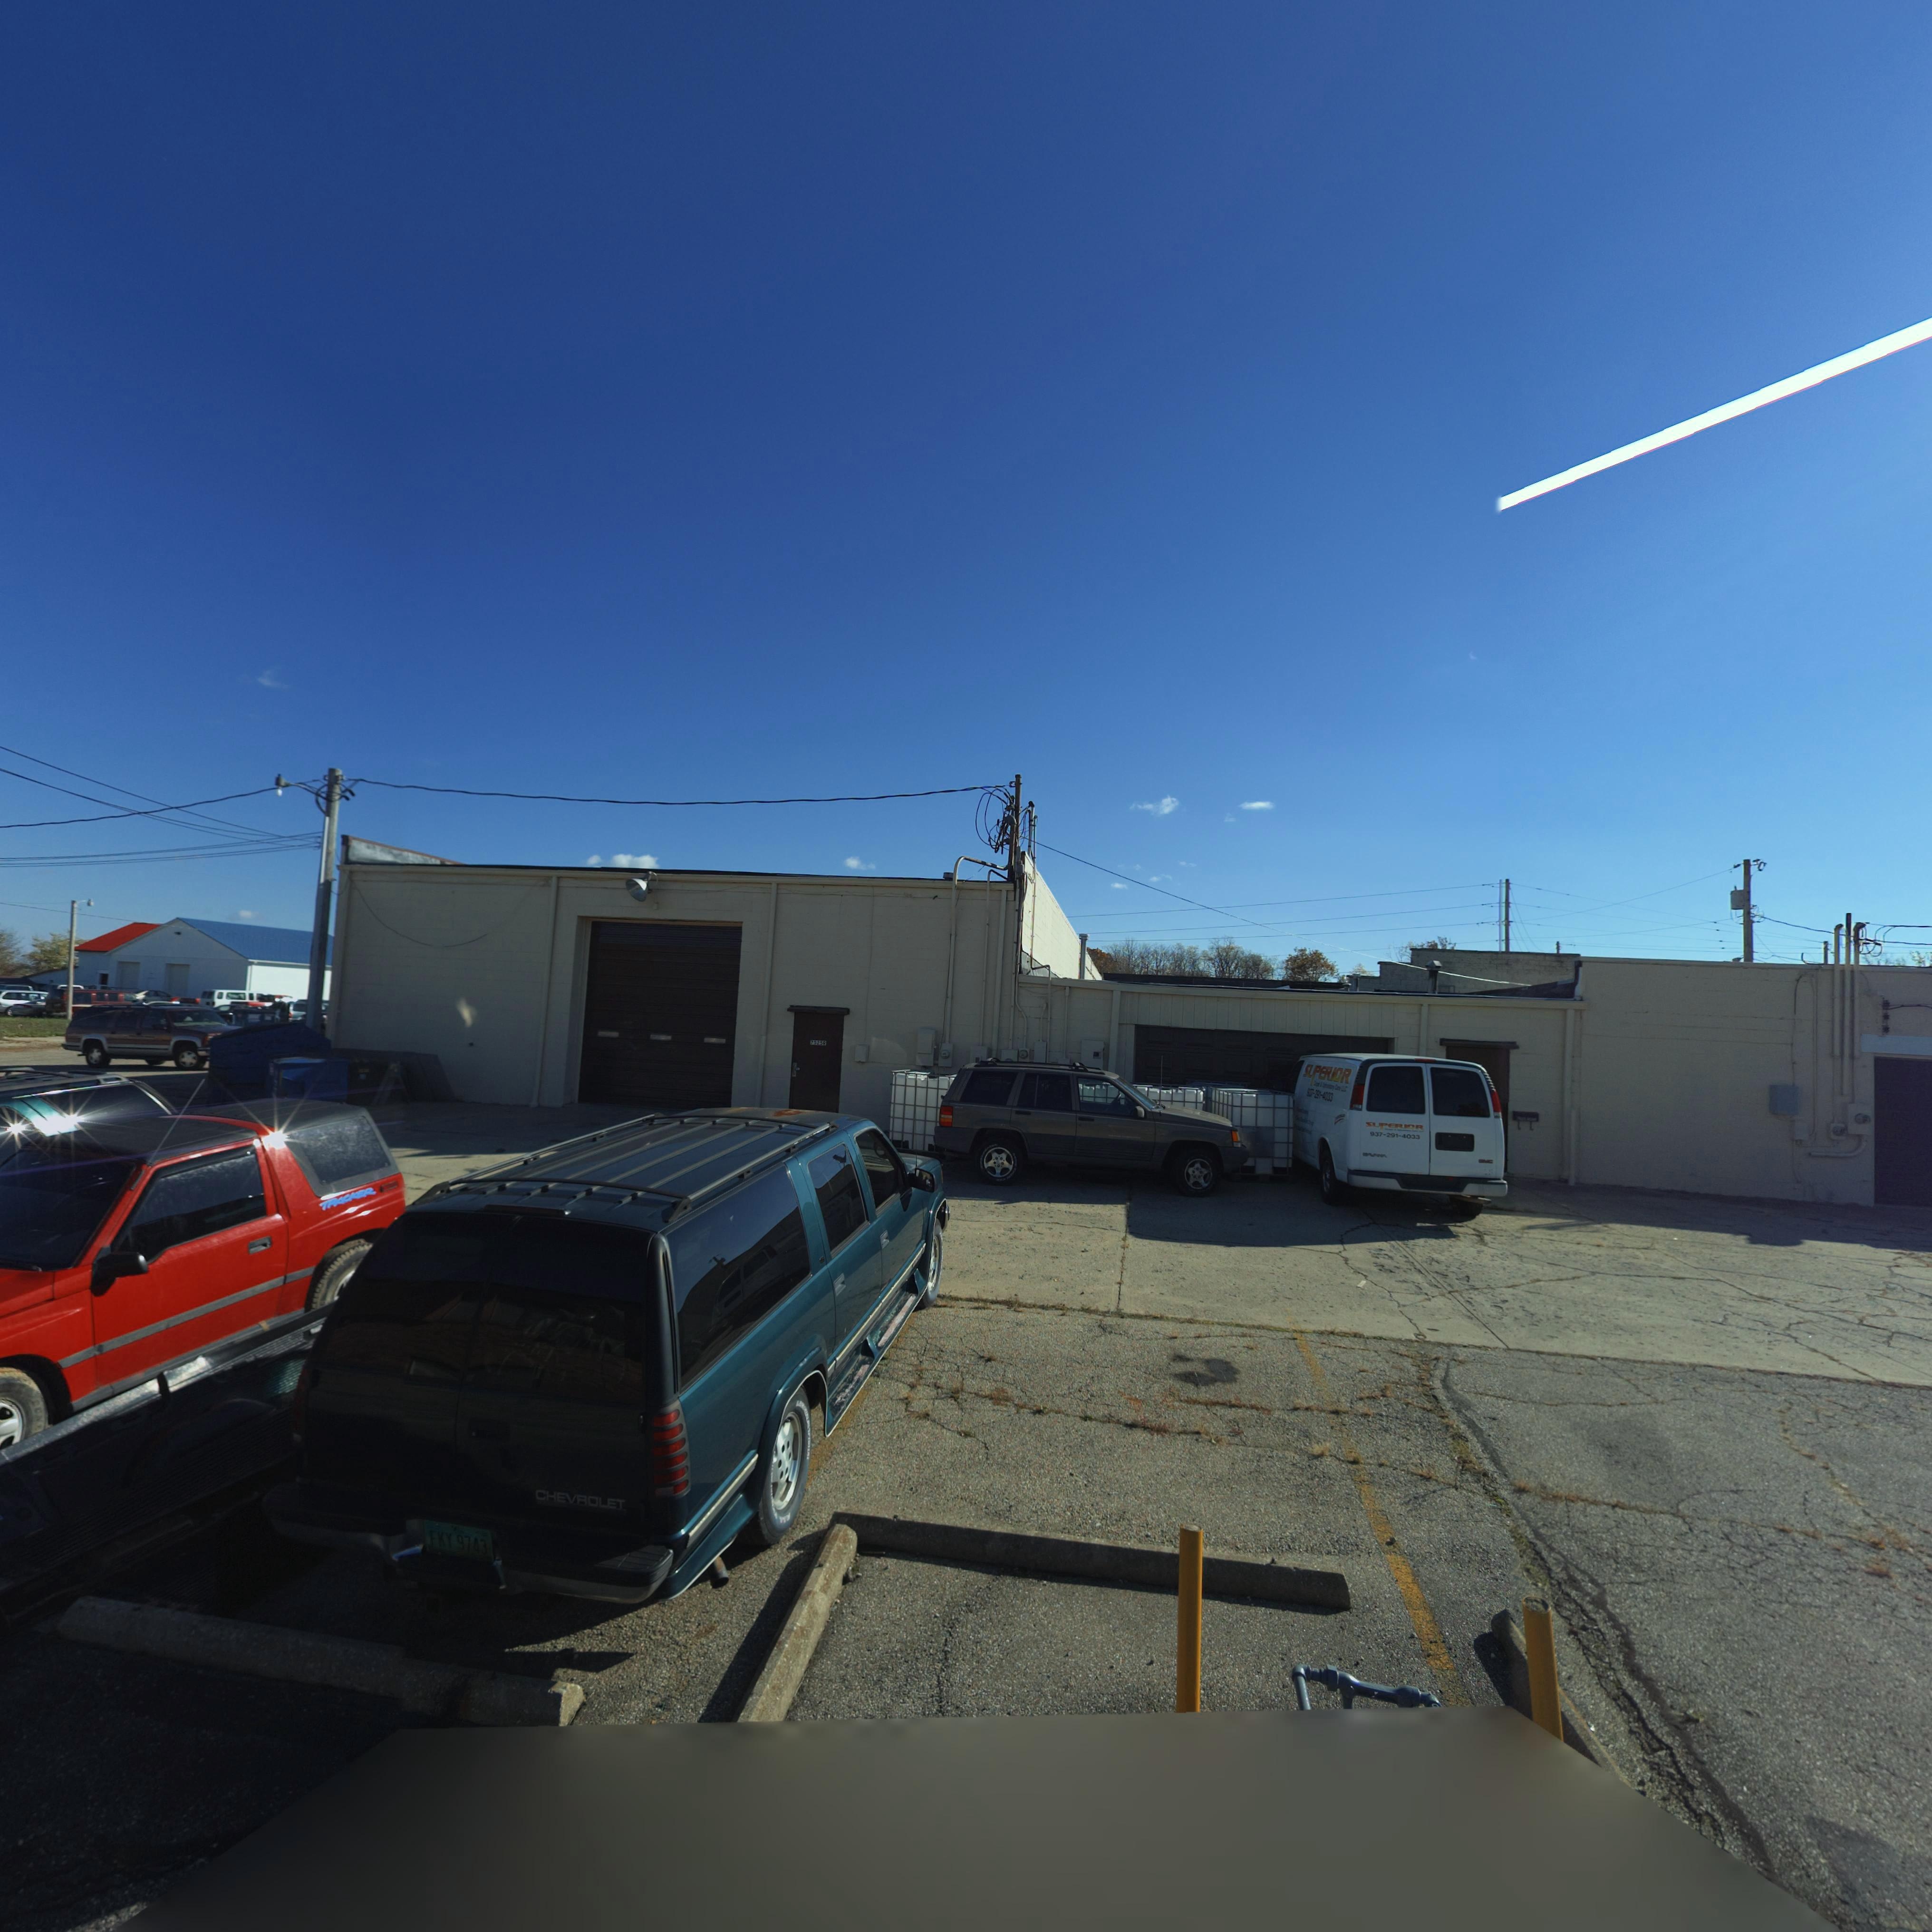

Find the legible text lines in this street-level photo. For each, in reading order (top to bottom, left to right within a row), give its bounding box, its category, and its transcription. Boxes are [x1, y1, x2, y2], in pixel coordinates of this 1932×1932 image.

[810, 1040, 823, 1045] StreetNumber: 7525